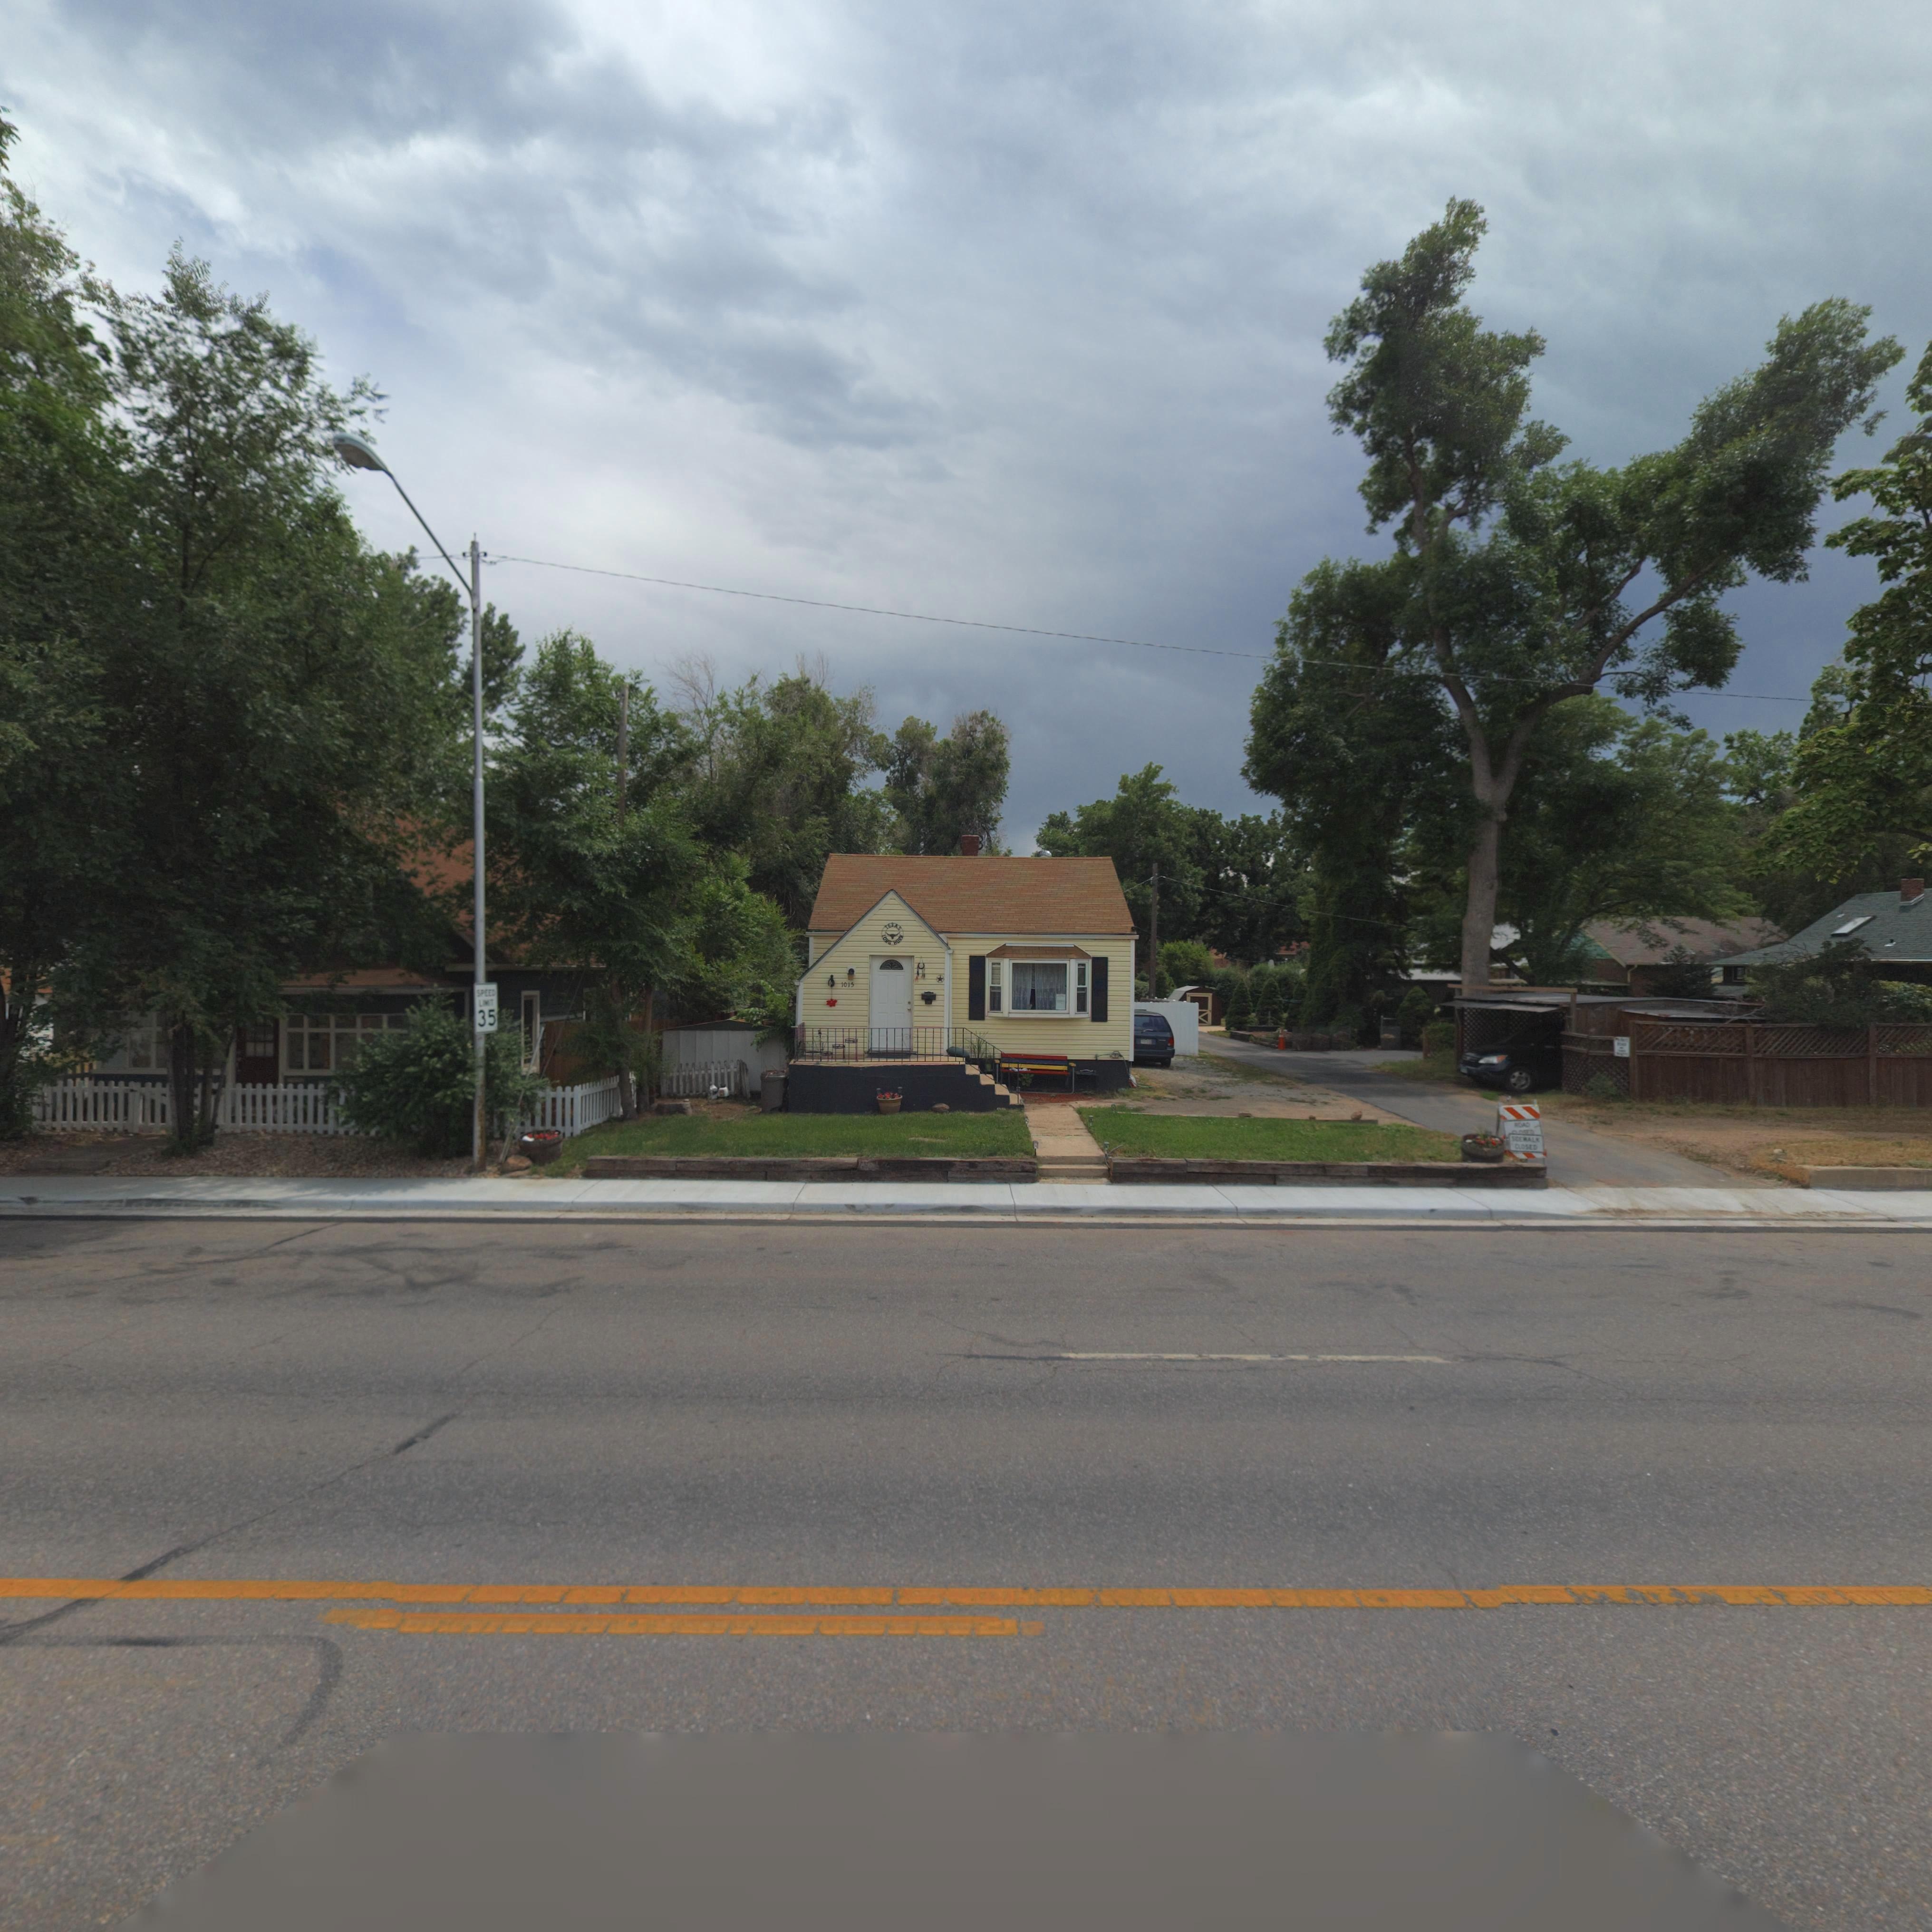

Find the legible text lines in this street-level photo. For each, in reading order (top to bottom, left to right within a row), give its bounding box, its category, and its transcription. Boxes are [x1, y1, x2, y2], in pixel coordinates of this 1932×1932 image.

[841, 982, 854, 987] StreetNumber: 1015